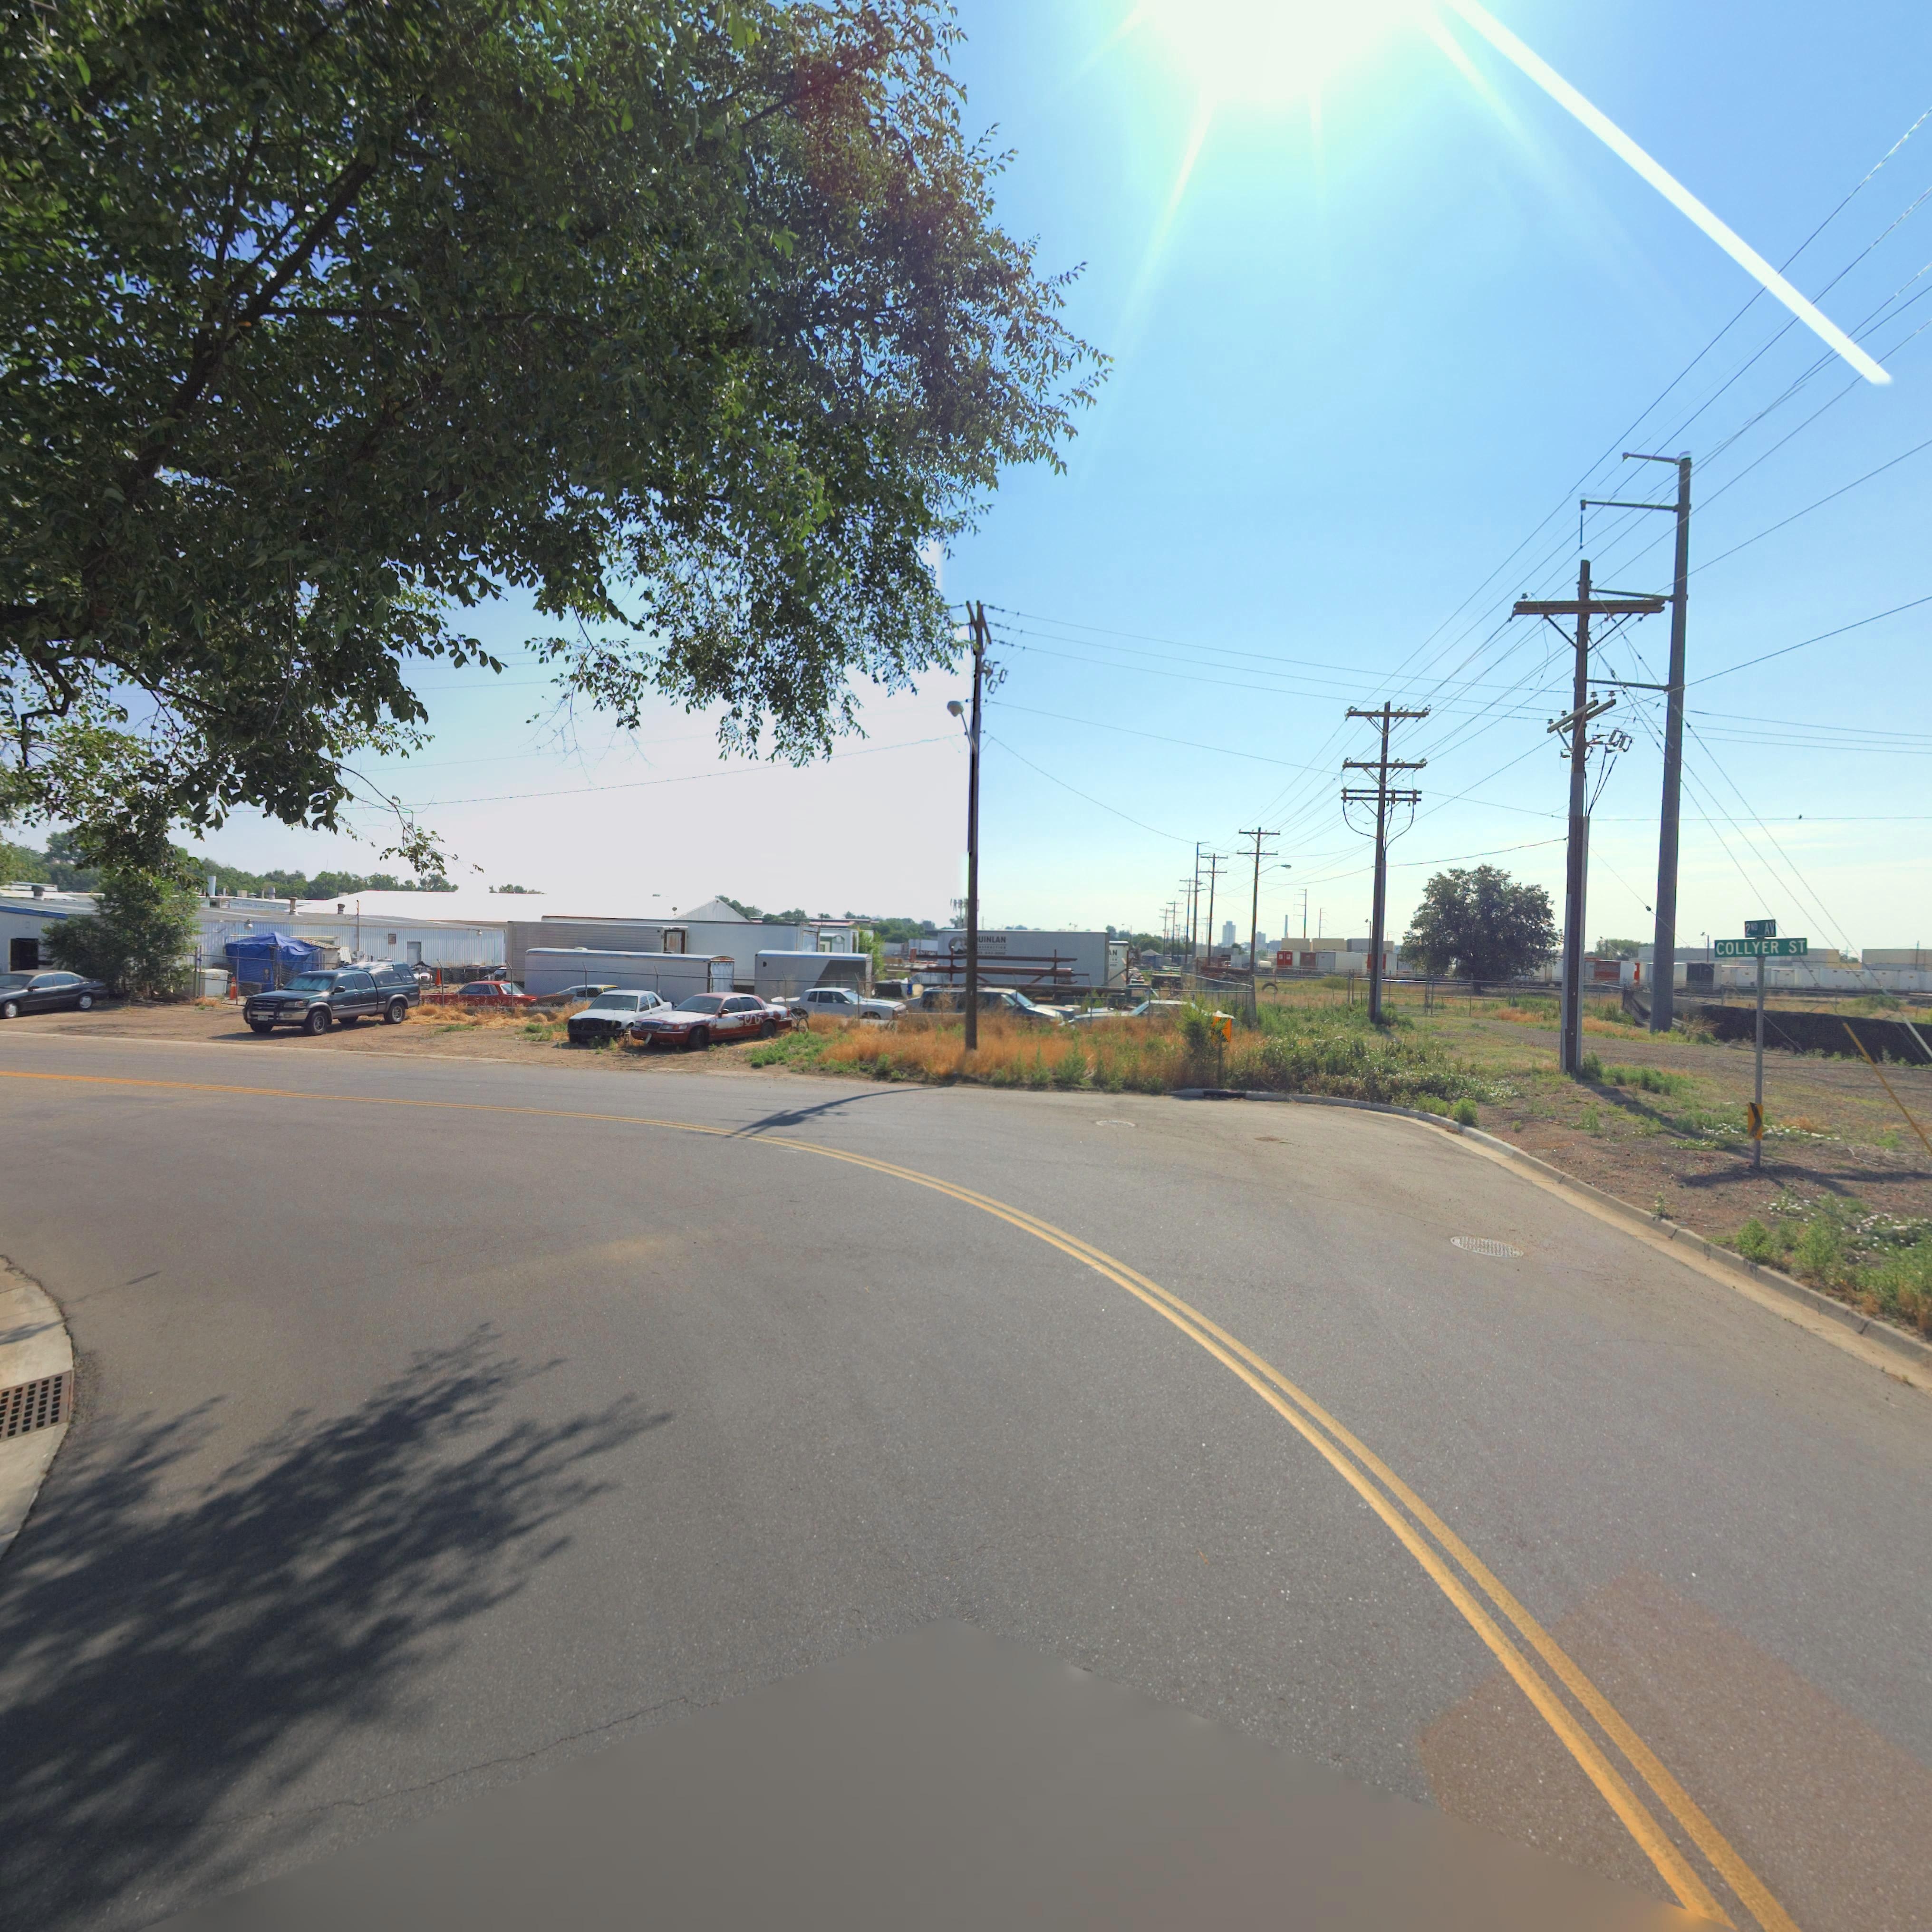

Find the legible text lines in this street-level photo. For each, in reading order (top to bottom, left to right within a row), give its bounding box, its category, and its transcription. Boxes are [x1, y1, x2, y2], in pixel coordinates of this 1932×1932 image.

[1744, 921, 1775, 937] StreetName: 2ND AV
[1715, 939, 1806, 956] StreetName: COLLYER ST